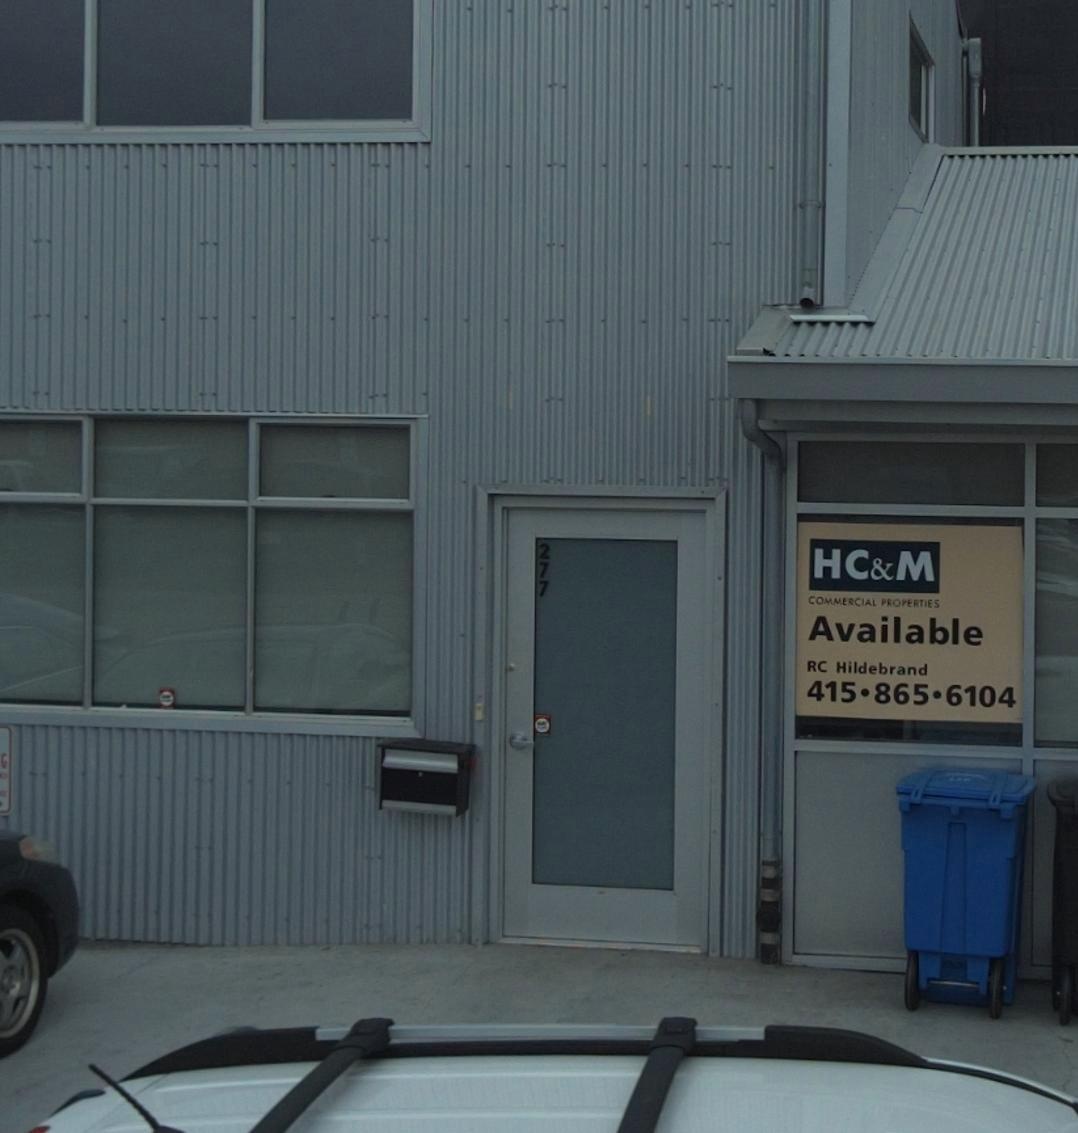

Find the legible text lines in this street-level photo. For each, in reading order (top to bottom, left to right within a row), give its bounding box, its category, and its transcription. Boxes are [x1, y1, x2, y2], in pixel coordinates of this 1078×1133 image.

[538, 542, 551, 598] StreetNumber: 277
[813, 547, 936, 584] None: HC&M
[807, 594, 941, 610] None: COMMERCIAL PROPERTIES
[806, 614, 983, 646] None: Available
[806, 659, 929, 677] None: RC Hildebrand
[805, 680, 1018, 709] None: 415*865*6104